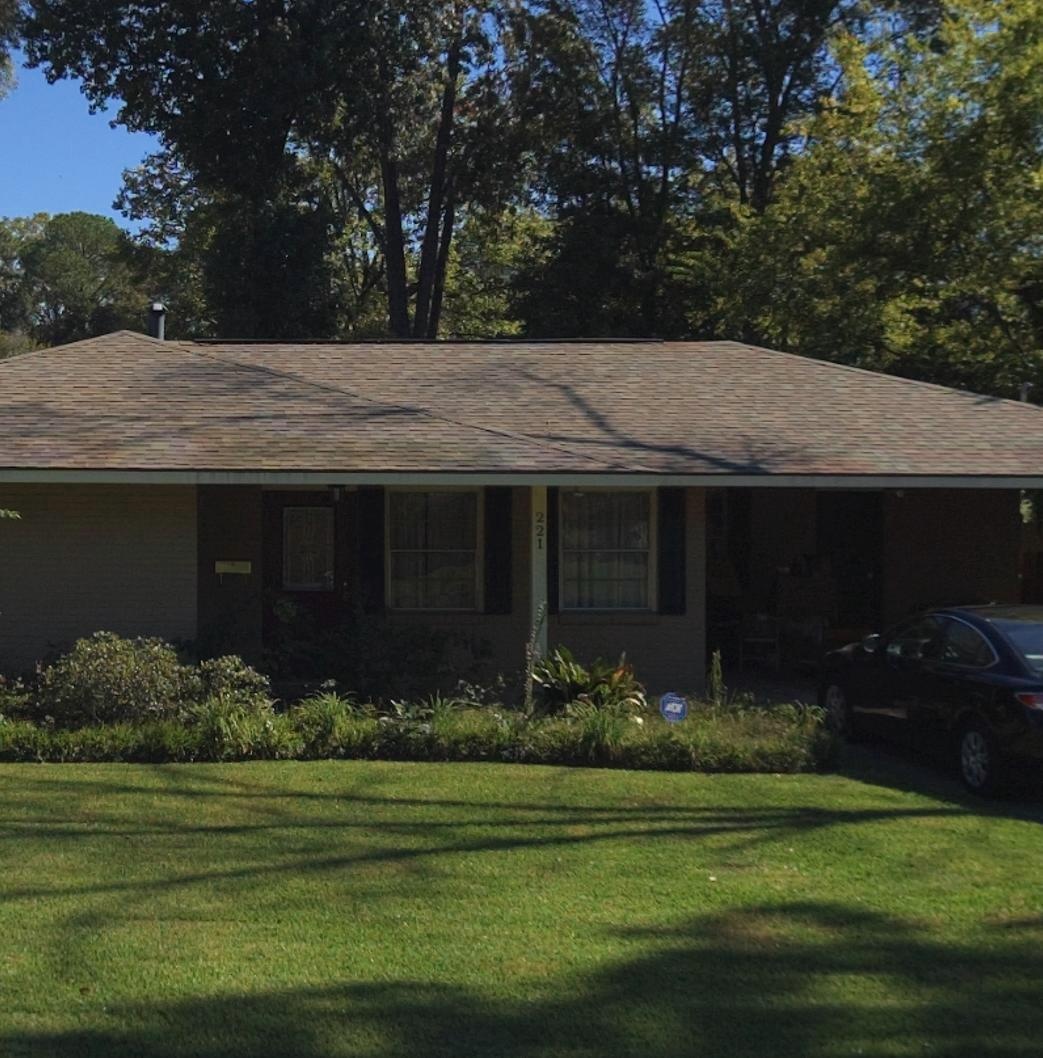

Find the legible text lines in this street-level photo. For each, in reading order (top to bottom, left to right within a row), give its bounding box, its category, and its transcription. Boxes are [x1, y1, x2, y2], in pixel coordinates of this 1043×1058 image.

[533, 510, 546, 552] StreetNumber: 221